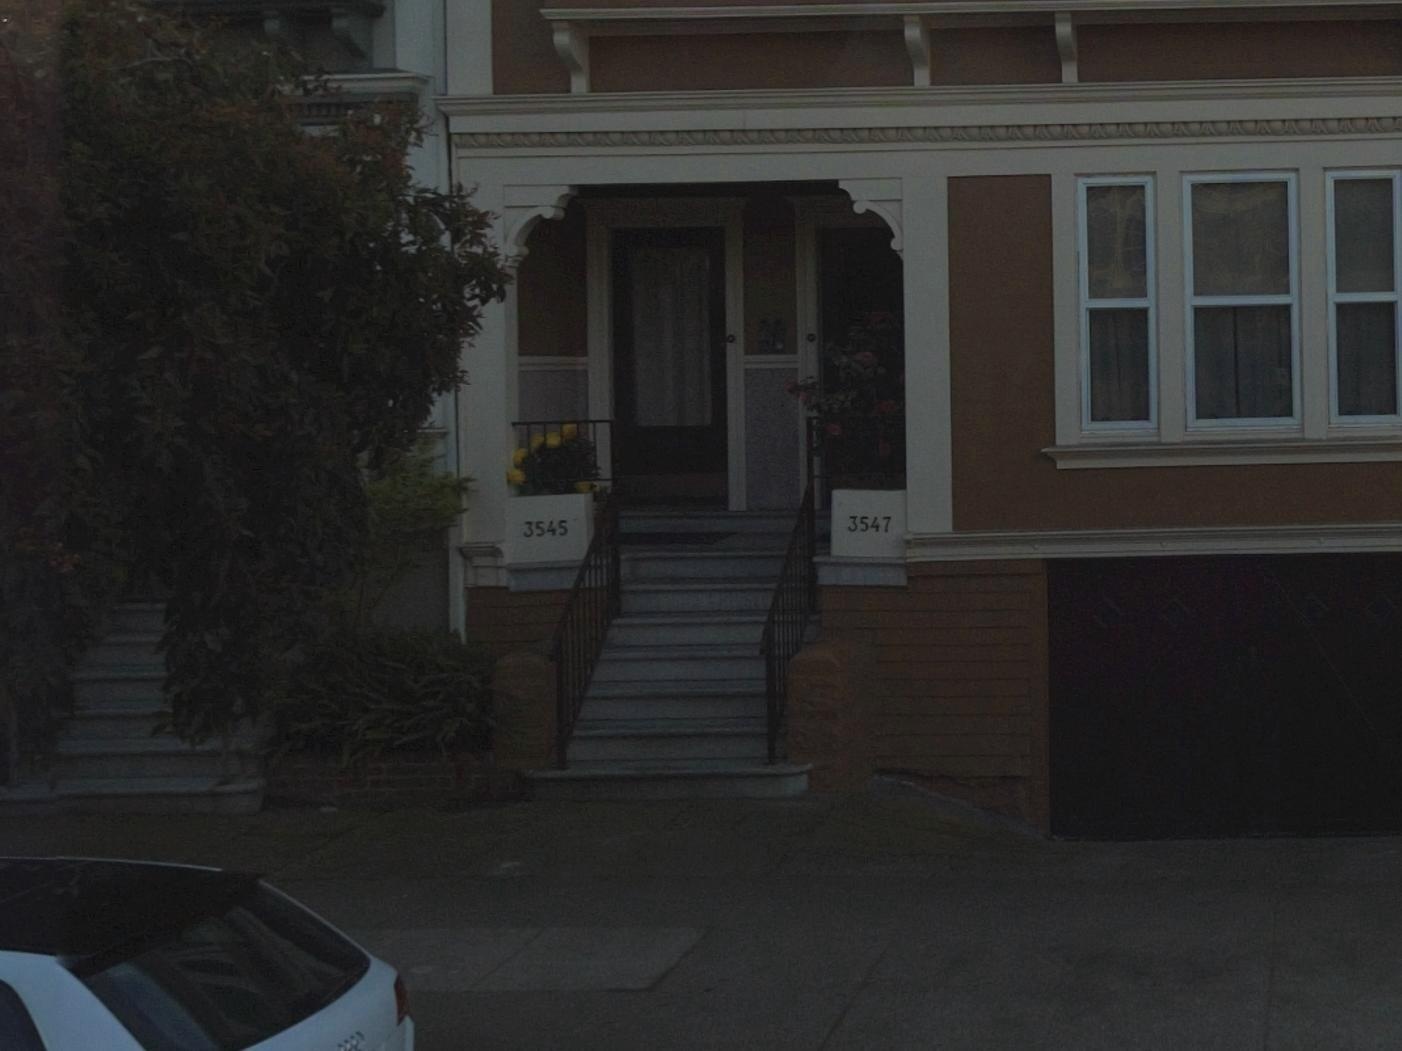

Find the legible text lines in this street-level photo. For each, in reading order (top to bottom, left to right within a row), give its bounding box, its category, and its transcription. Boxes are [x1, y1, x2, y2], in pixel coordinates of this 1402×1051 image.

[521, 518, 570, 540] StreetNumber: 3545
[845, 514, 894, 534] StreetNumber: 3547